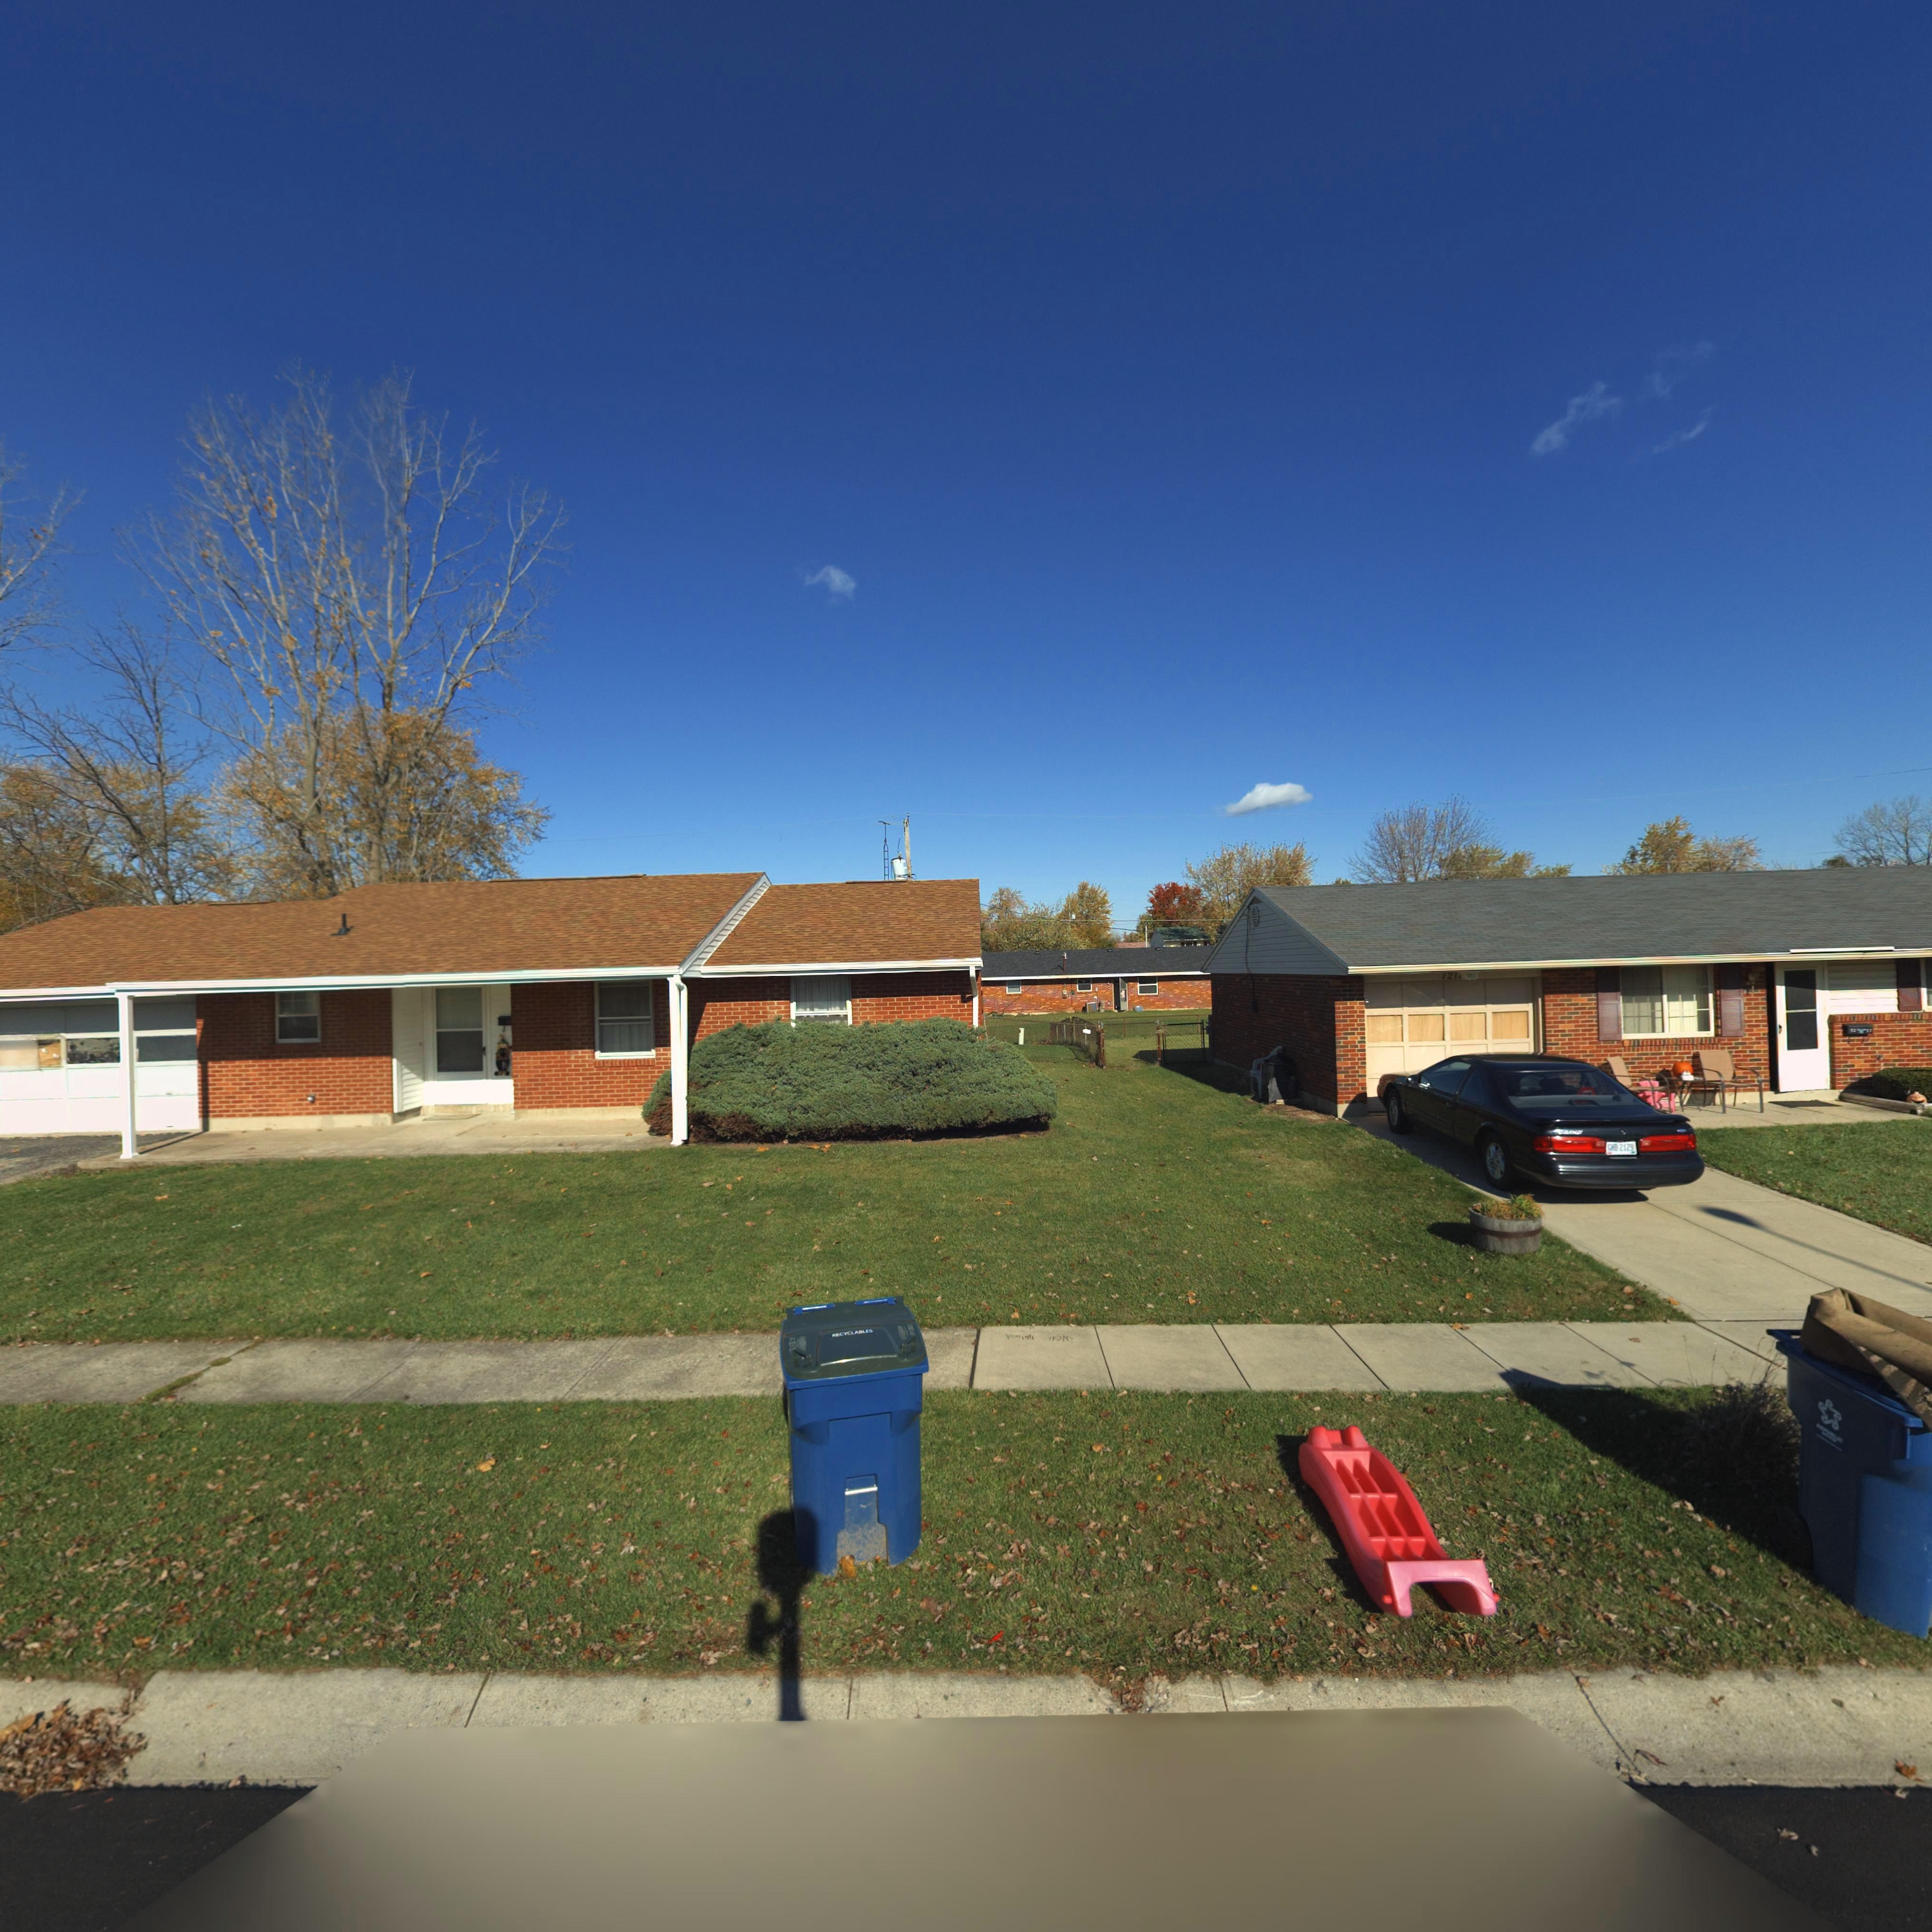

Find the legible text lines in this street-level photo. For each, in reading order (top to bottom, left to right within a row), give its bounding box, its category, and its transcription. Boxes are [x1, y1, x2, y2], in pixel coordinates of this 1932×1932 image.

[1440, 972, 1458, 980] StreetNumber: 721